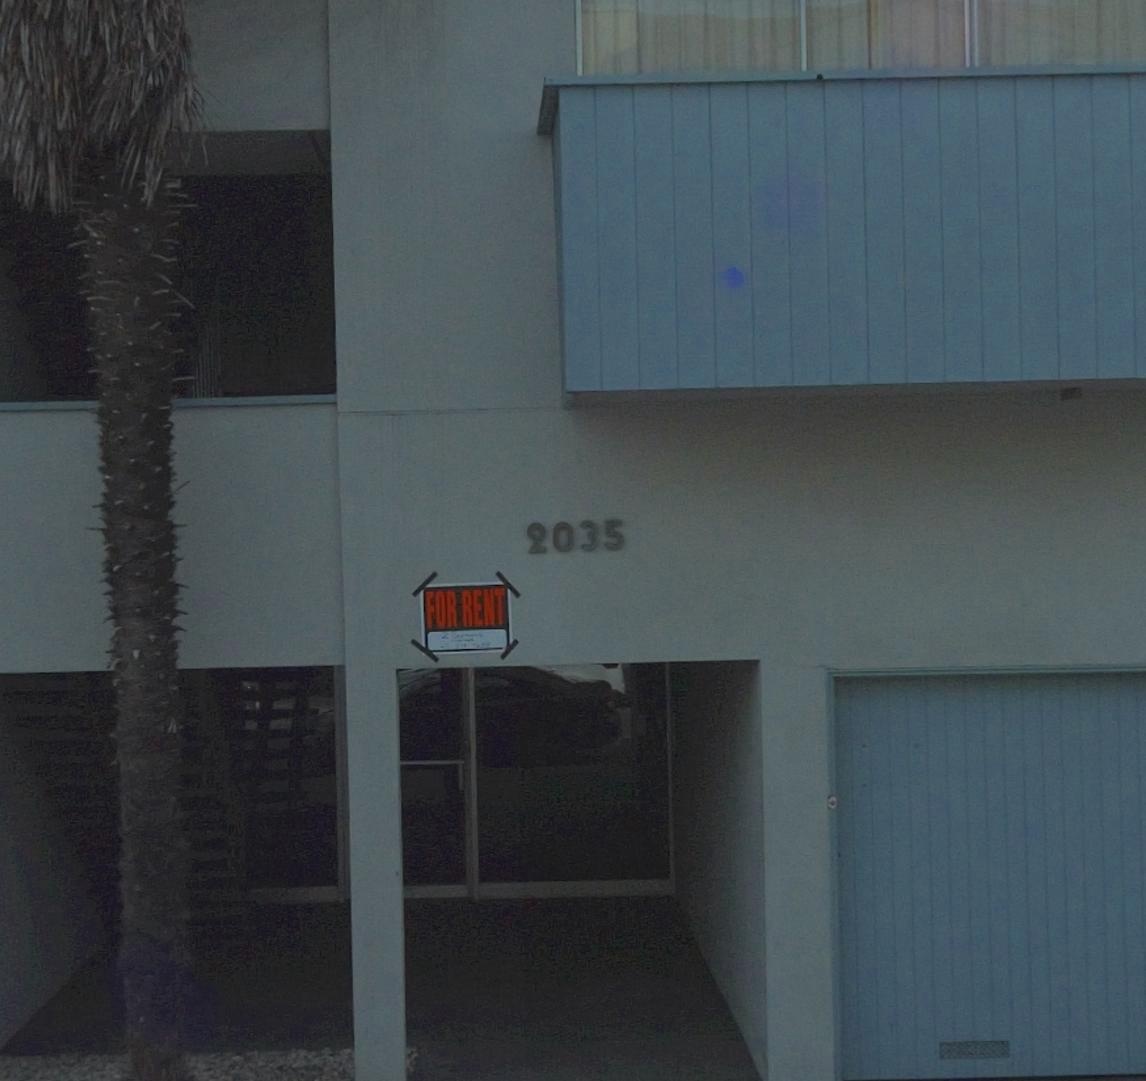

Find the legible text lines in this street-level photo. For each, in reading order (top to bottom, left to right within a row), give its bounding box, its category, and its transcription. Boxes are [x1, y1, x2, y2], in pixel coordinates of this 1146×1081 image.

[524, 514, 627, 557] StreetNumber: 2035
[423, 585, 508, 631] None: FOR RENT